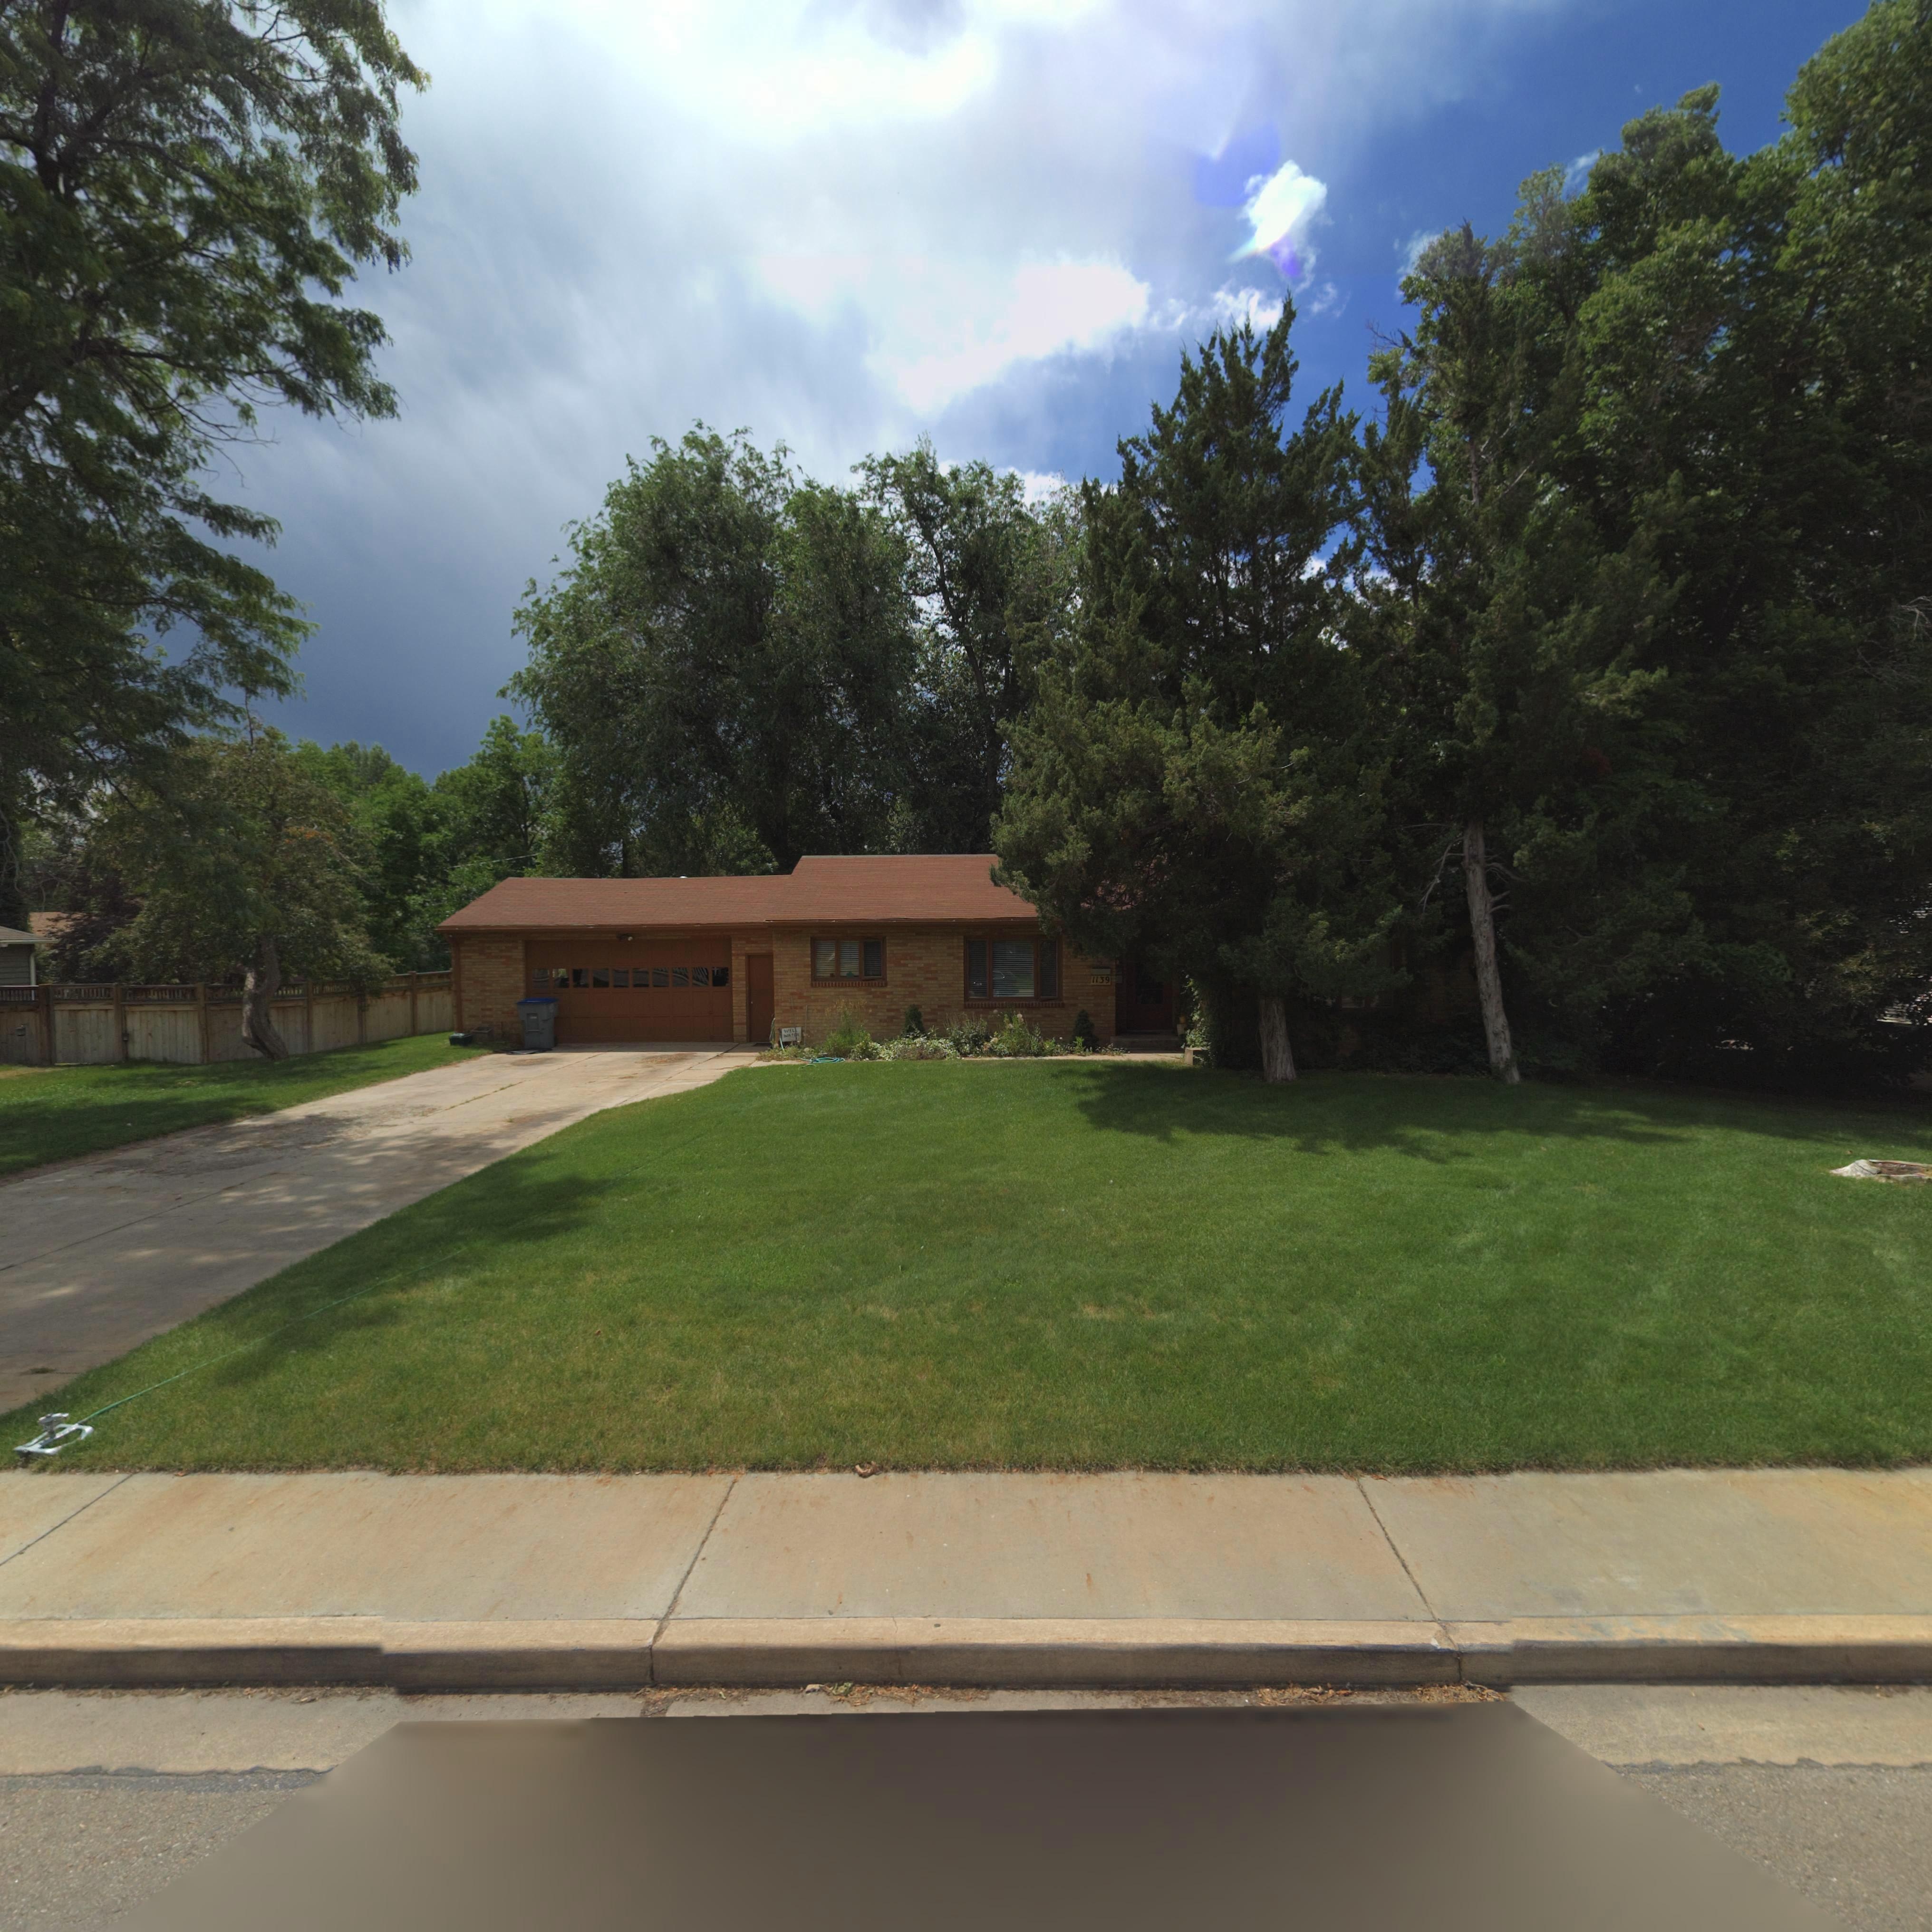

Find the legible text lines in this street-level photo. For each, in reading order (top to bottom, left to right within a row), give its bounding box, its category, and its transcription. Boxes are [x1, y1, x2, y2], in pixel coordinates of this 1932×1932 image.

[1092, 976, 1110, 983] StreetNumber: 1139